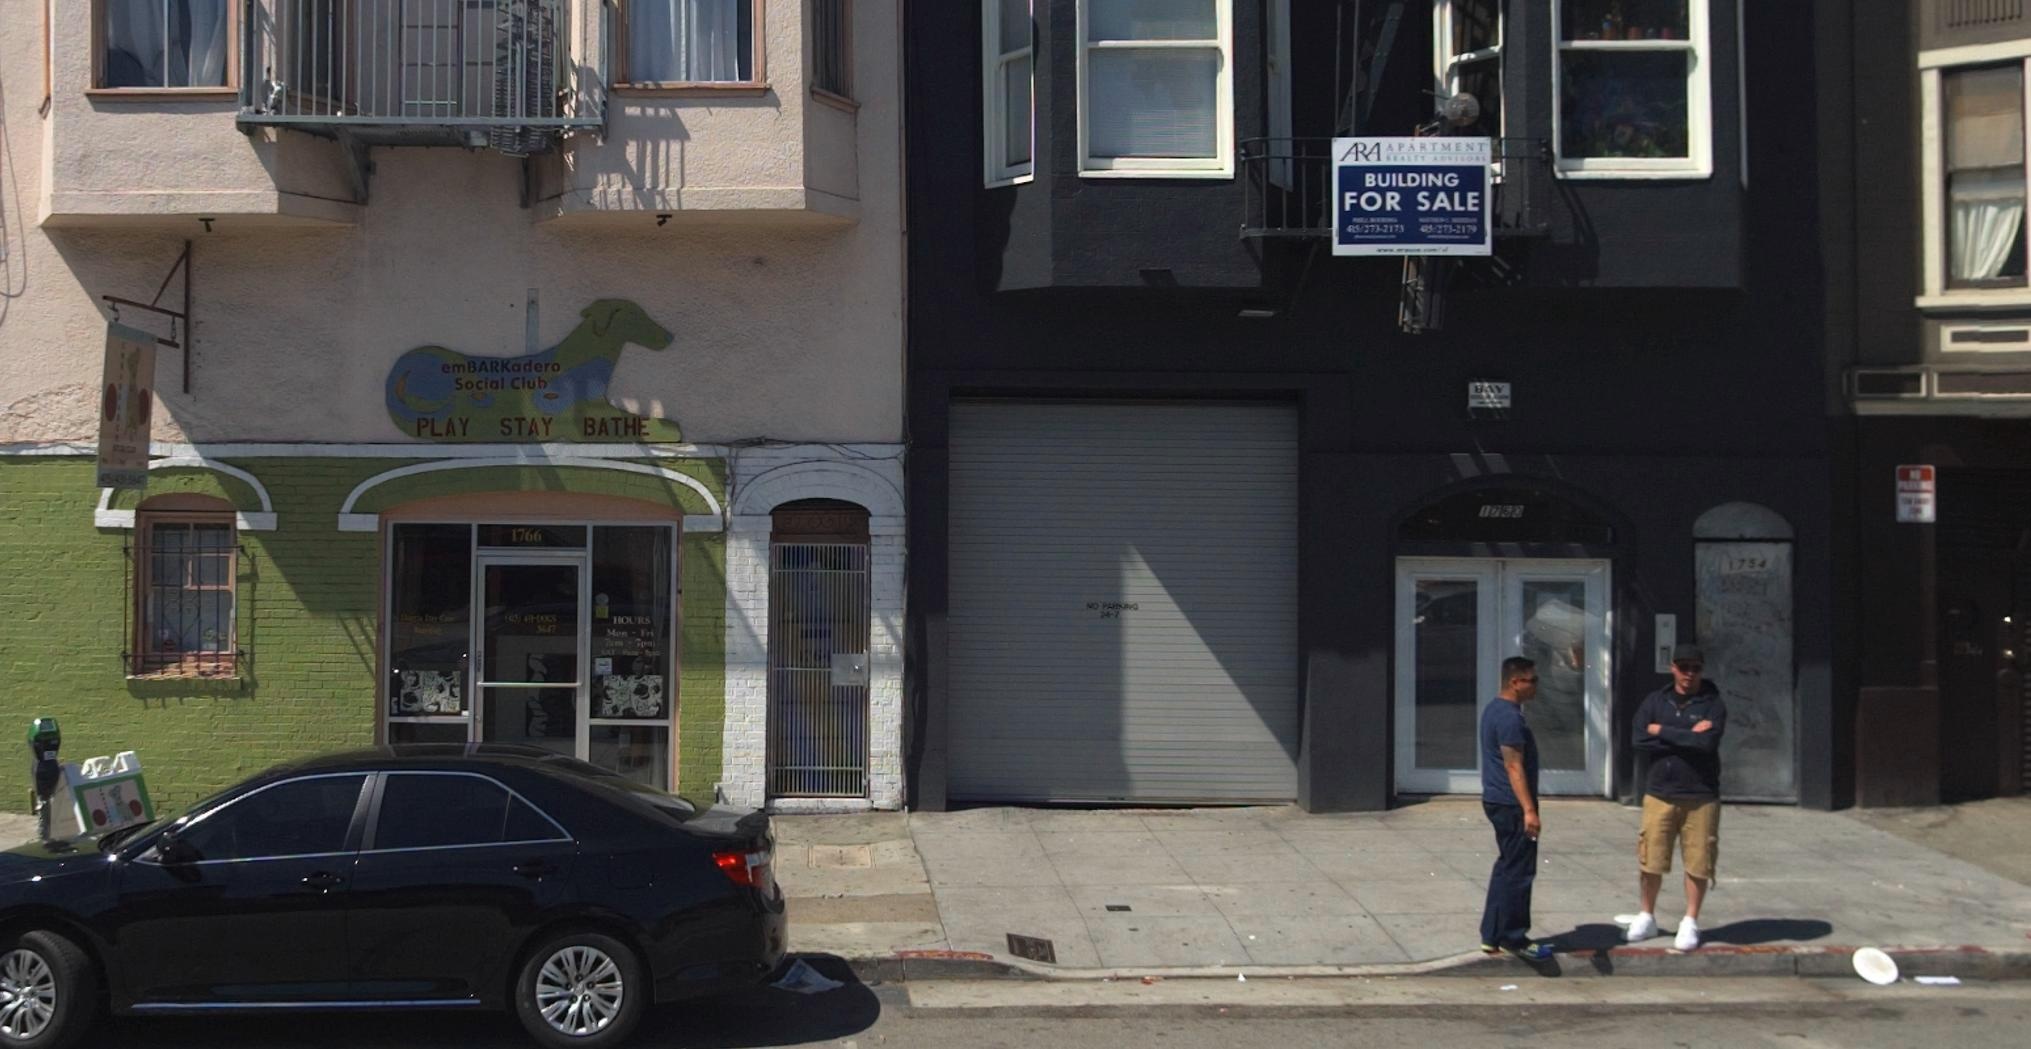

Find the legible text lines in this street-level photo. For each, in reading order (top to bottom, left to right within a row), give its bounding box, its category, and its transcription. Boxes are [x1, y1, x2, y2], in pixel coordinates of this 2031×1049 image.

[1337, 141, 1380, 161] None: ARA
[1384, 141, 1486, 151] None: APARTMENT
[1383, 153, 1487, 162] None: REALTY *****
[1364, 171, 1460, 188] None: BUILDING
[1343, 190, 1481, 213] None: FOR SALE
[1345, 223, 1405, 234] None: 415/273-2173
[1418, 223, 1478, 234] None: 415/273-2179
[439, 359, 562, 375] BusinessName: emBARKadero
[453, 376, 549, 392] BusinessName: Social Club
[1472, 384, 1505, 395] None: BAY
[415, 416, 652, 438] None: PLAY STAY BATHE
[1909, 469, 1920, 480] None: NO
[1898, 480, 1934, 492] None: PARKING
[1900, 496, 1929, 503] None: TOW AWAY
[1479, 505, 1525, 518] StreetNumber: 1760
[1906, 506, 1927, 515] None: ZONE
[509, 527, 545, 544] StreetNumber: 1766
[1728, 557, 1767, 573] StreetNumber: 1754
[1085, 601, 1140, 610] None: NO PARKING
[611, 614, 651, 626] None: HOURS
[1097, 611, 1119, 619] None: 24-7
[605, 628, 653, 638] None: Mon-Fri
[600, 636, 657, 647] None: 7am-7pm